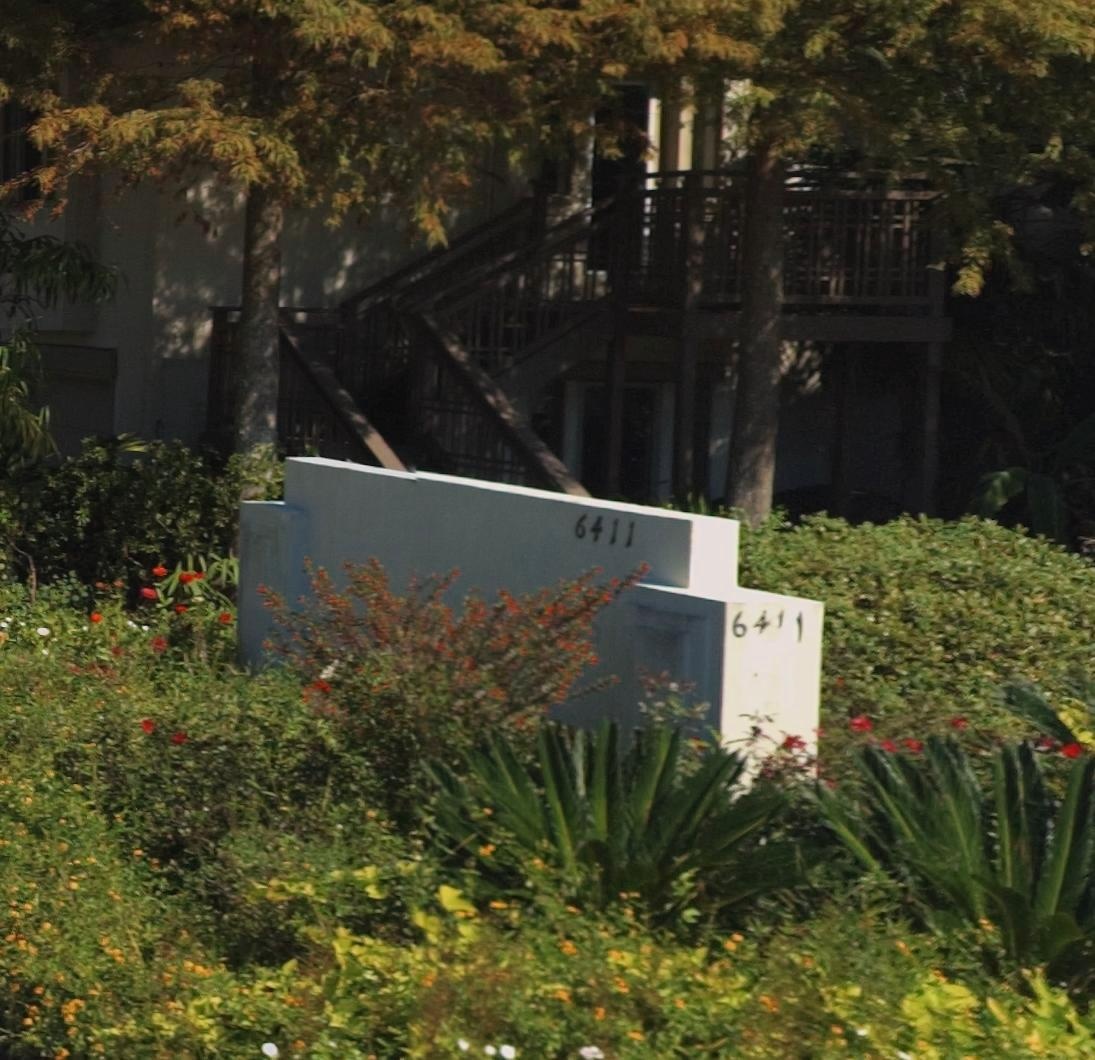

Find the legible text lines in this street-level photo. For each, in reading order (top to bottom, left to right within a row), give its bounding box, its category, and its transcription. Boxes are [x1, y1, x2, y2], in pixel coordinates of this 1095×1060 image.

[572, 509, 640, 552] StreetNumber: 6411
[727, 605, 808, 648] StreetNumber: 64*1